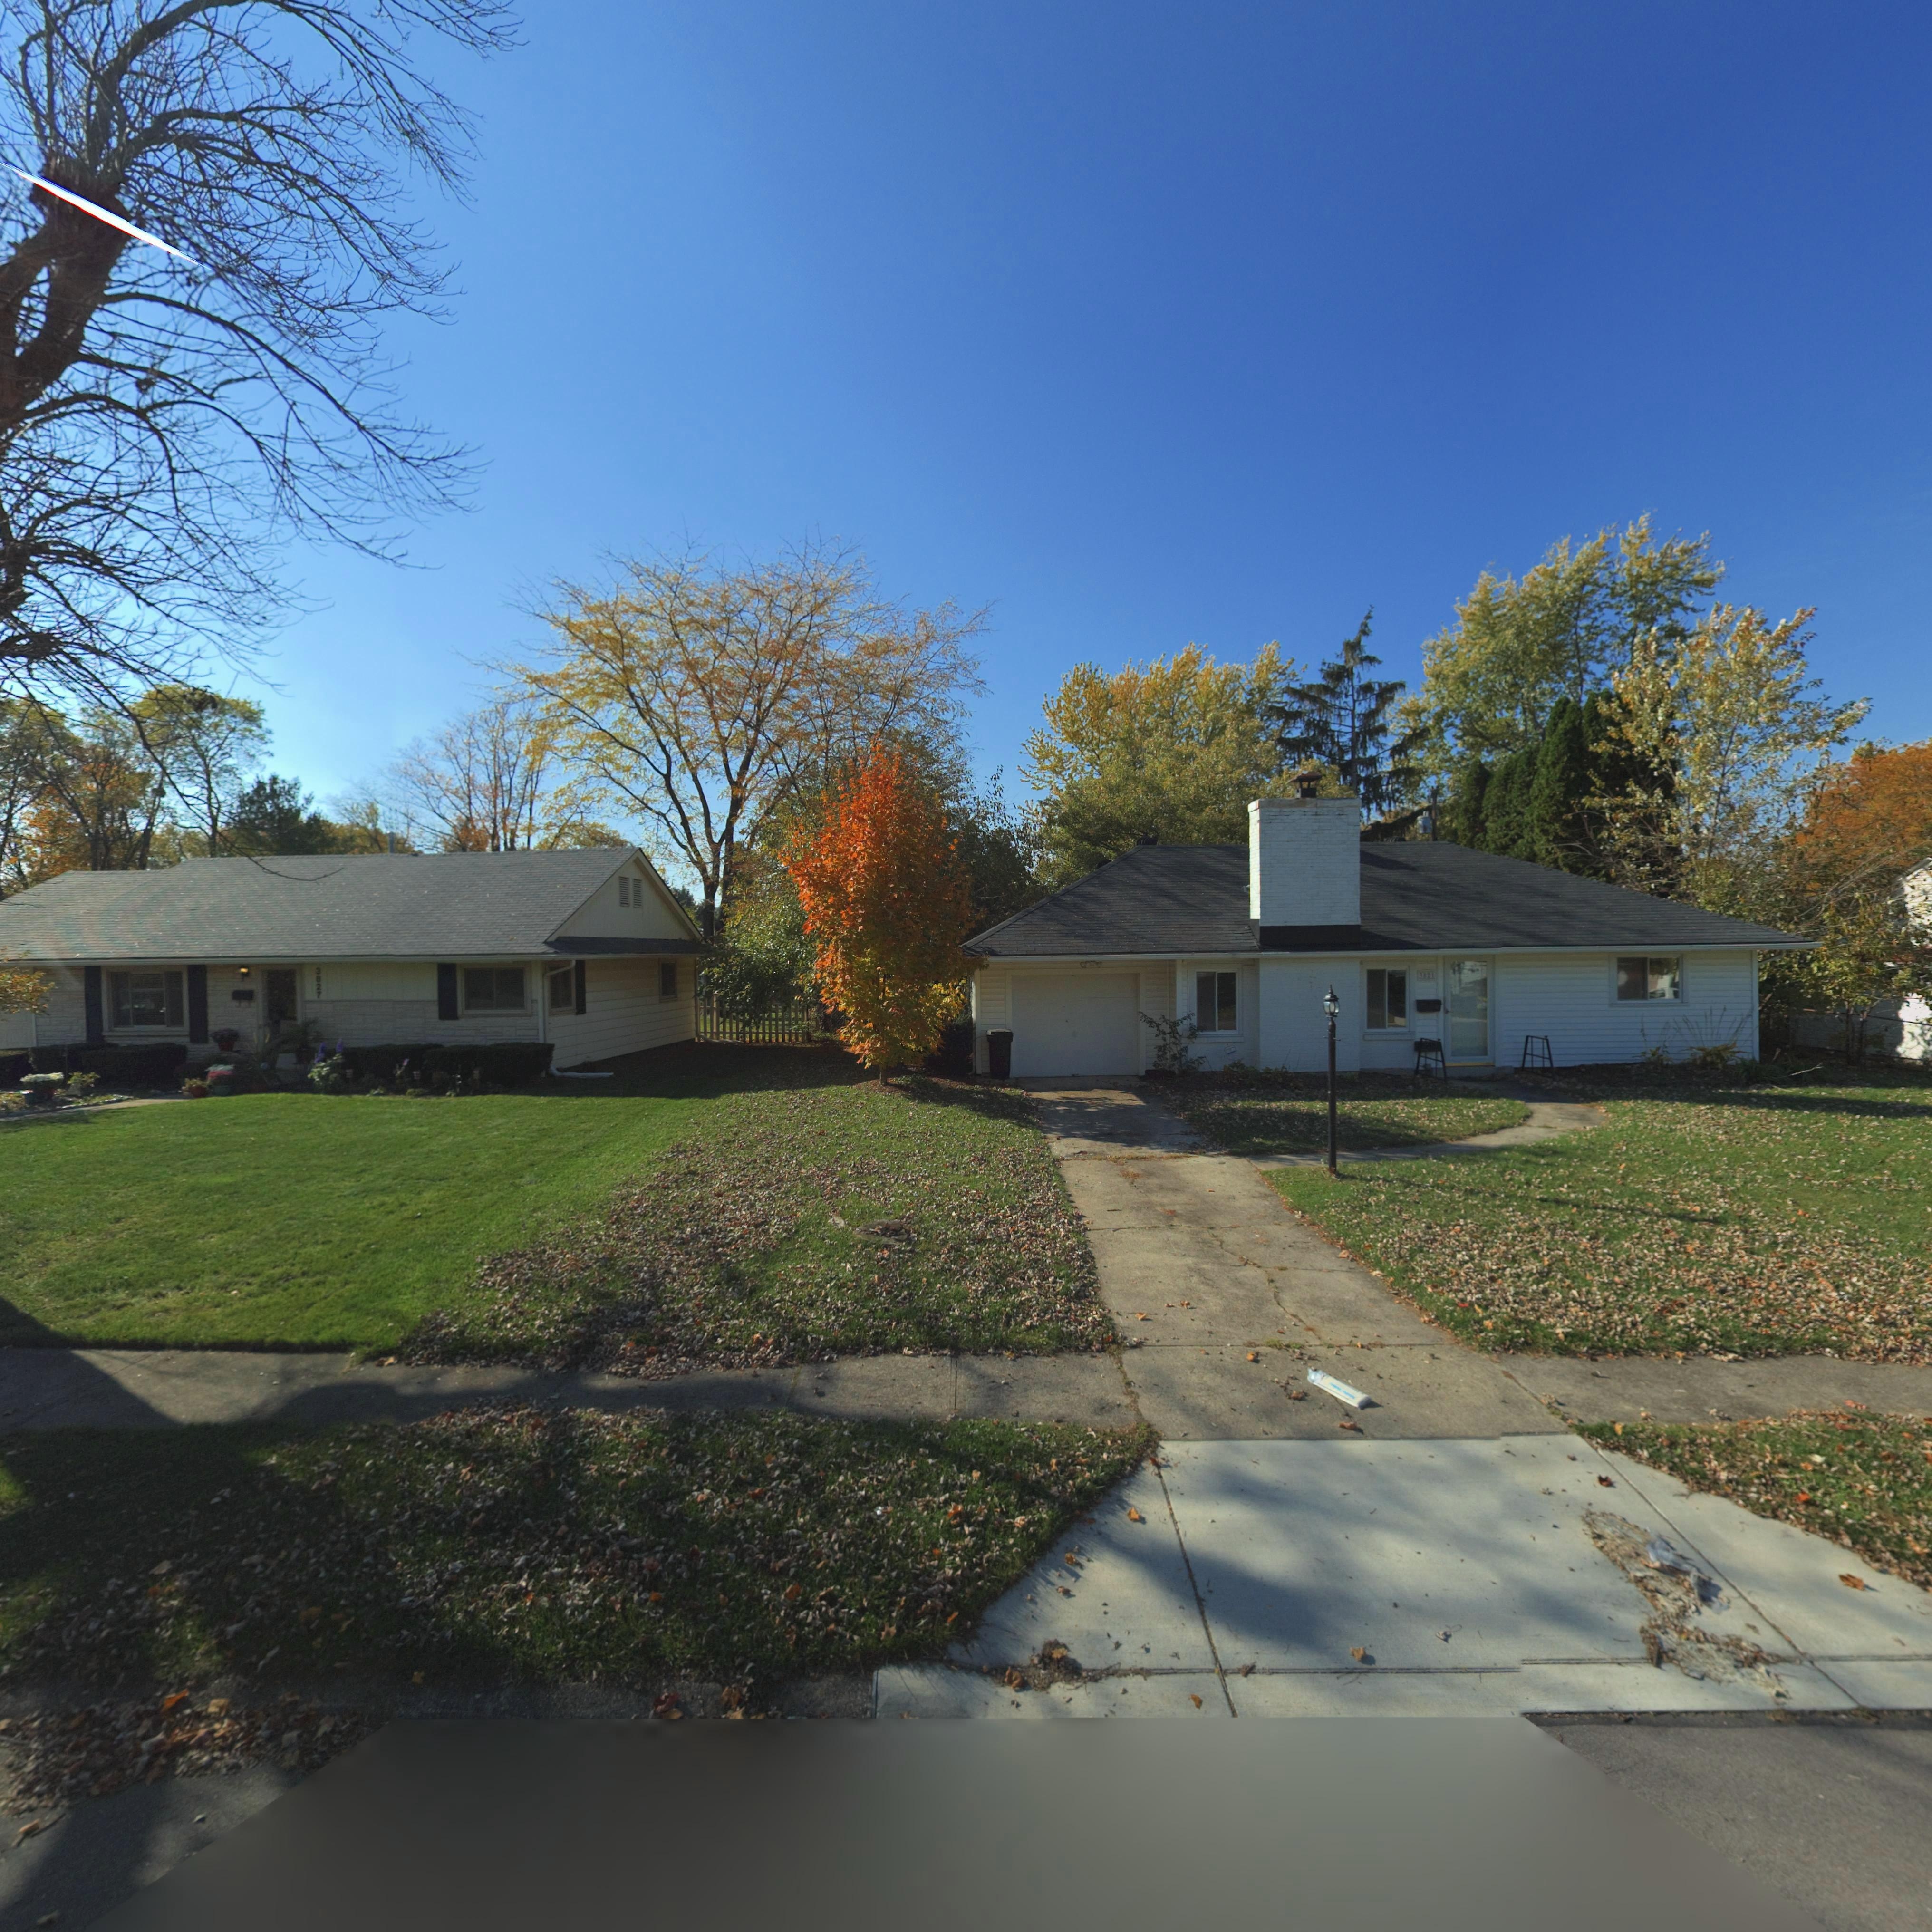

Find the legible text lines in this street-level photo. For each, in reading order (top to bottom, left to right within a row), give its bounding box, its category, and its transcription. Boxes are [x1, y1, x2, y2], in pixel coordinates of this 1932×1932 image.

[315, 966, 322, 999] StreetNumber: 3827